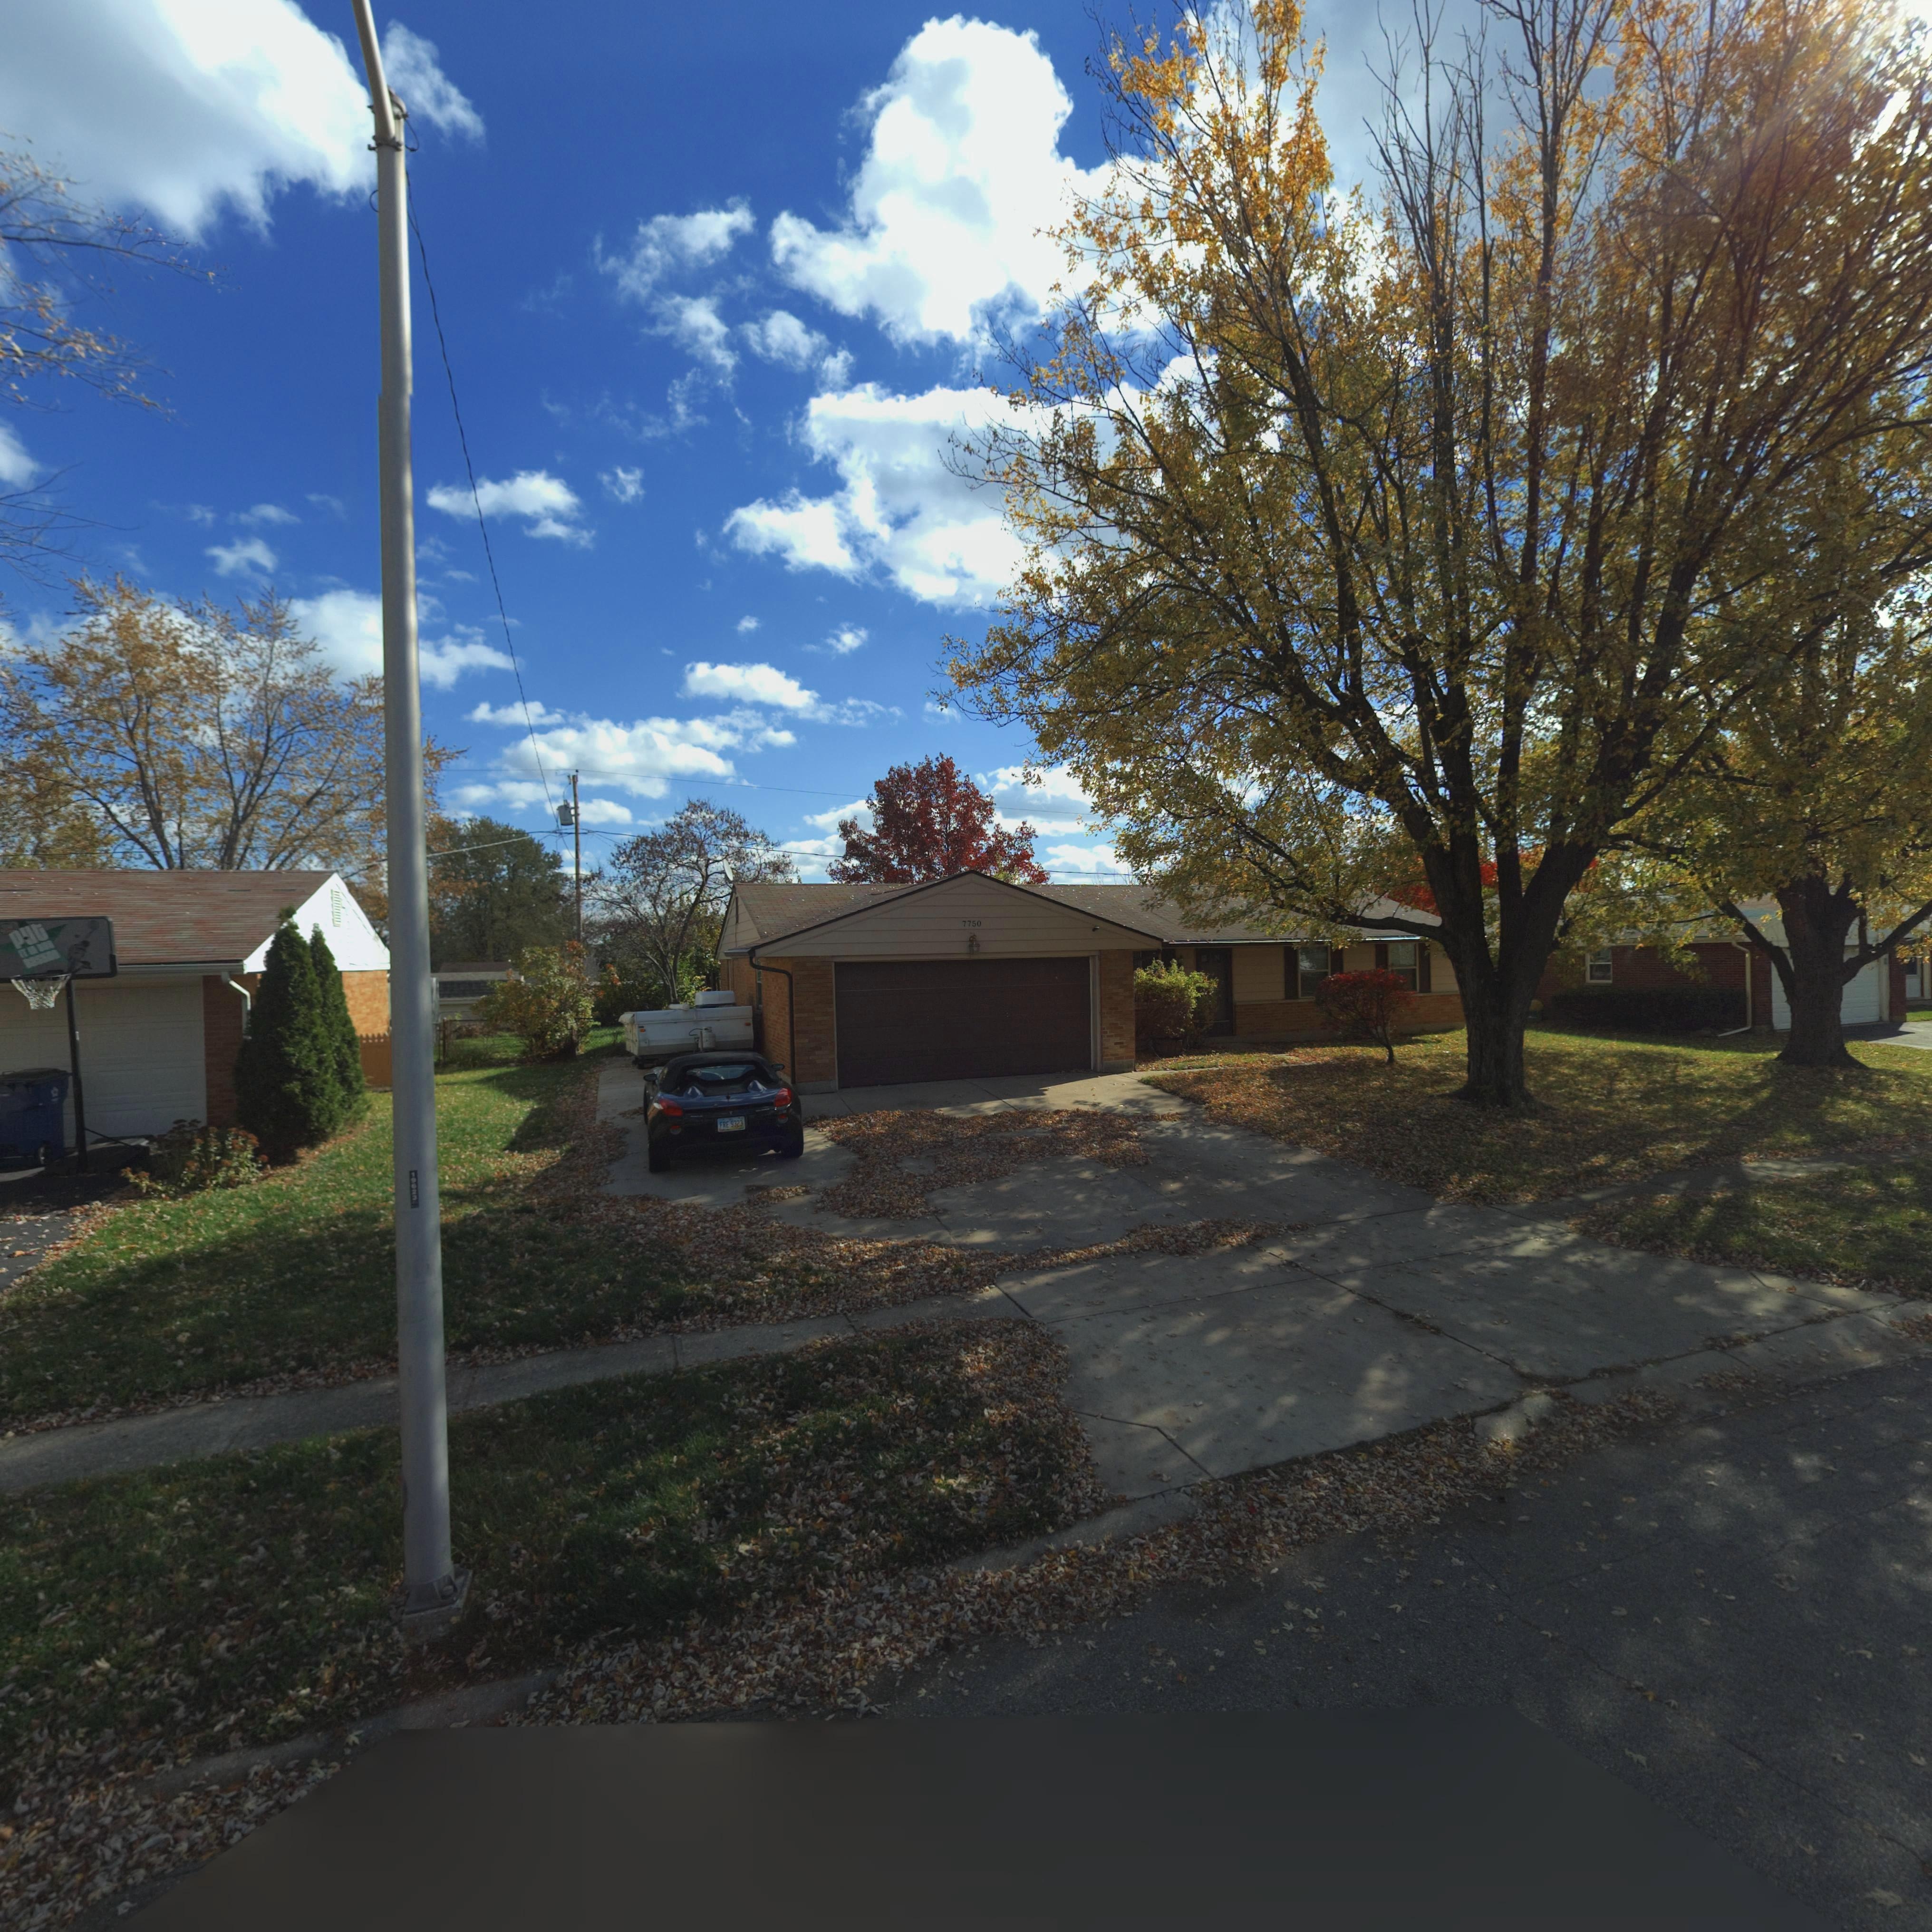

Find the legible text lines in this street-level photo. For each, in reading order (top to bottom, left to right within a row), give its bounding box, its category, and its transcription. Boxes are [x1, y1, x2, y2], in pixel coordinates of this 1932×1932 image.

[961, 920, 982, 927] StreetNumber: 7750